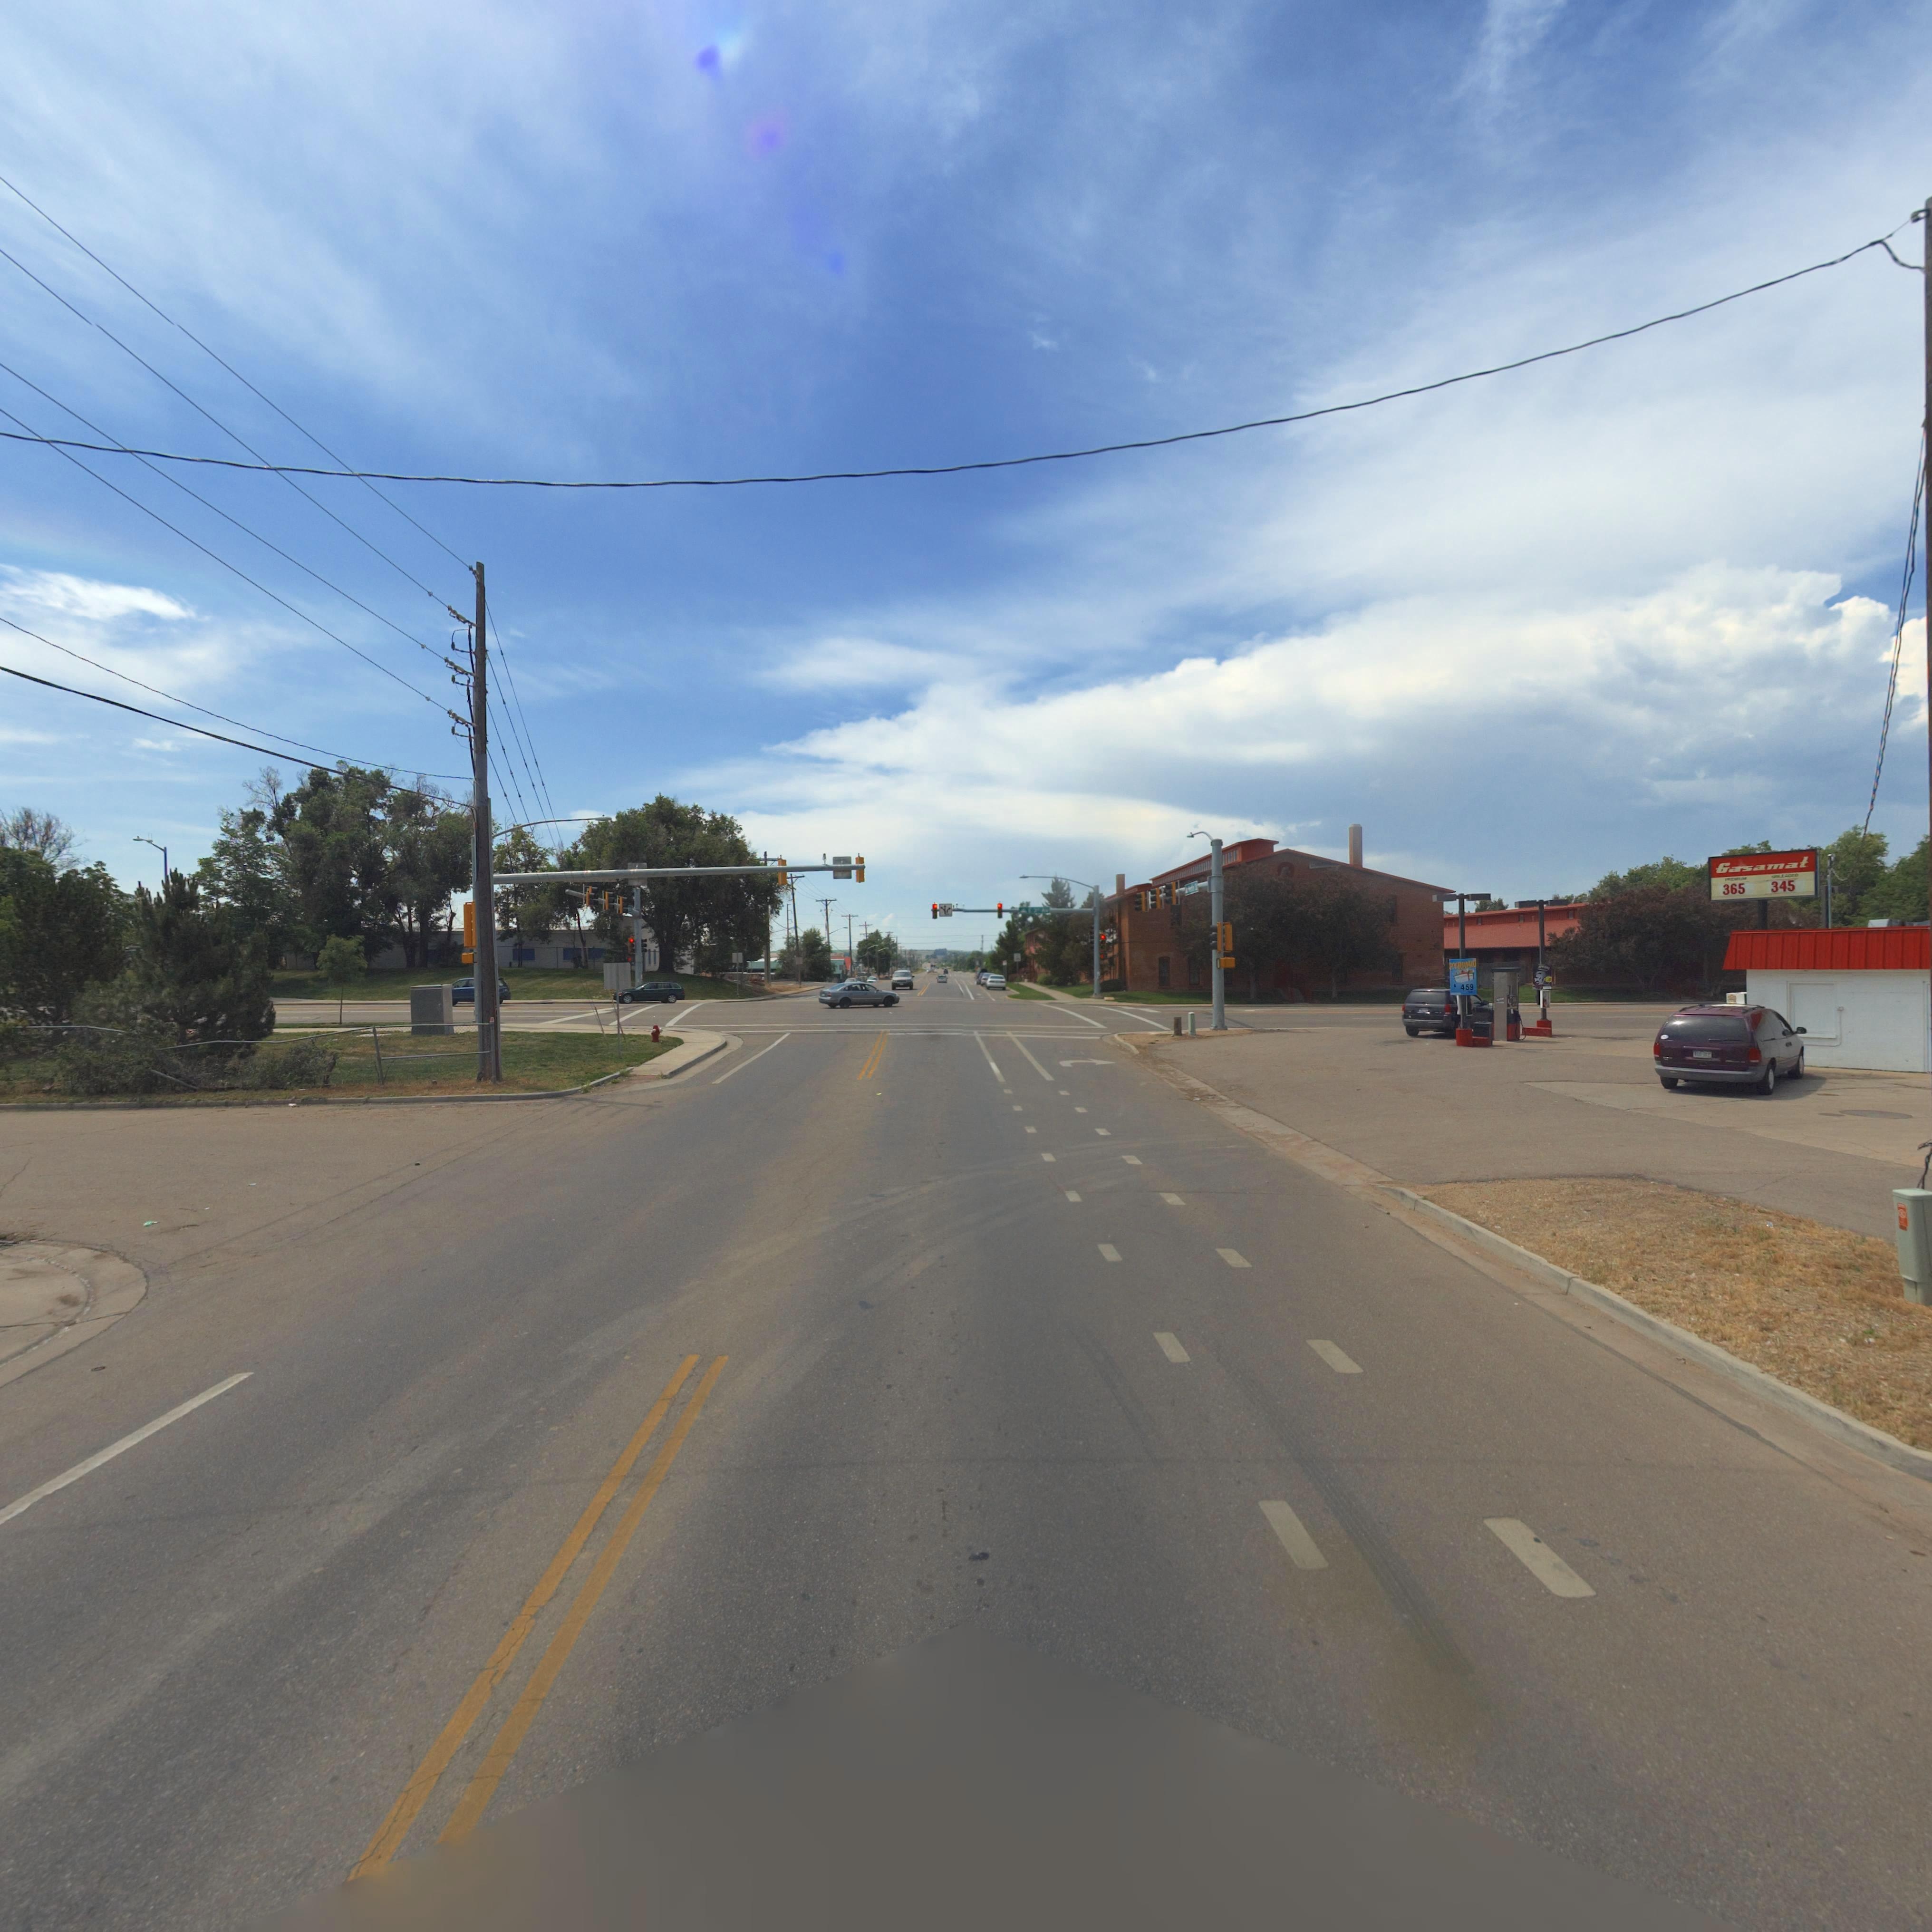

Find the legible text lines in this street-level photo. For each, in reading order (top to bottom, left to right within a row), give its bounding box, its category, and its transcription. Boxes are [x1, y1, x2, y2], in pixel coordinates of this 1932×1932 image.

[1714, 854, 1812, 875] BusinessName: Gasamat
[1026, 907, 1049, 913] StreetName: E 3RD AVE